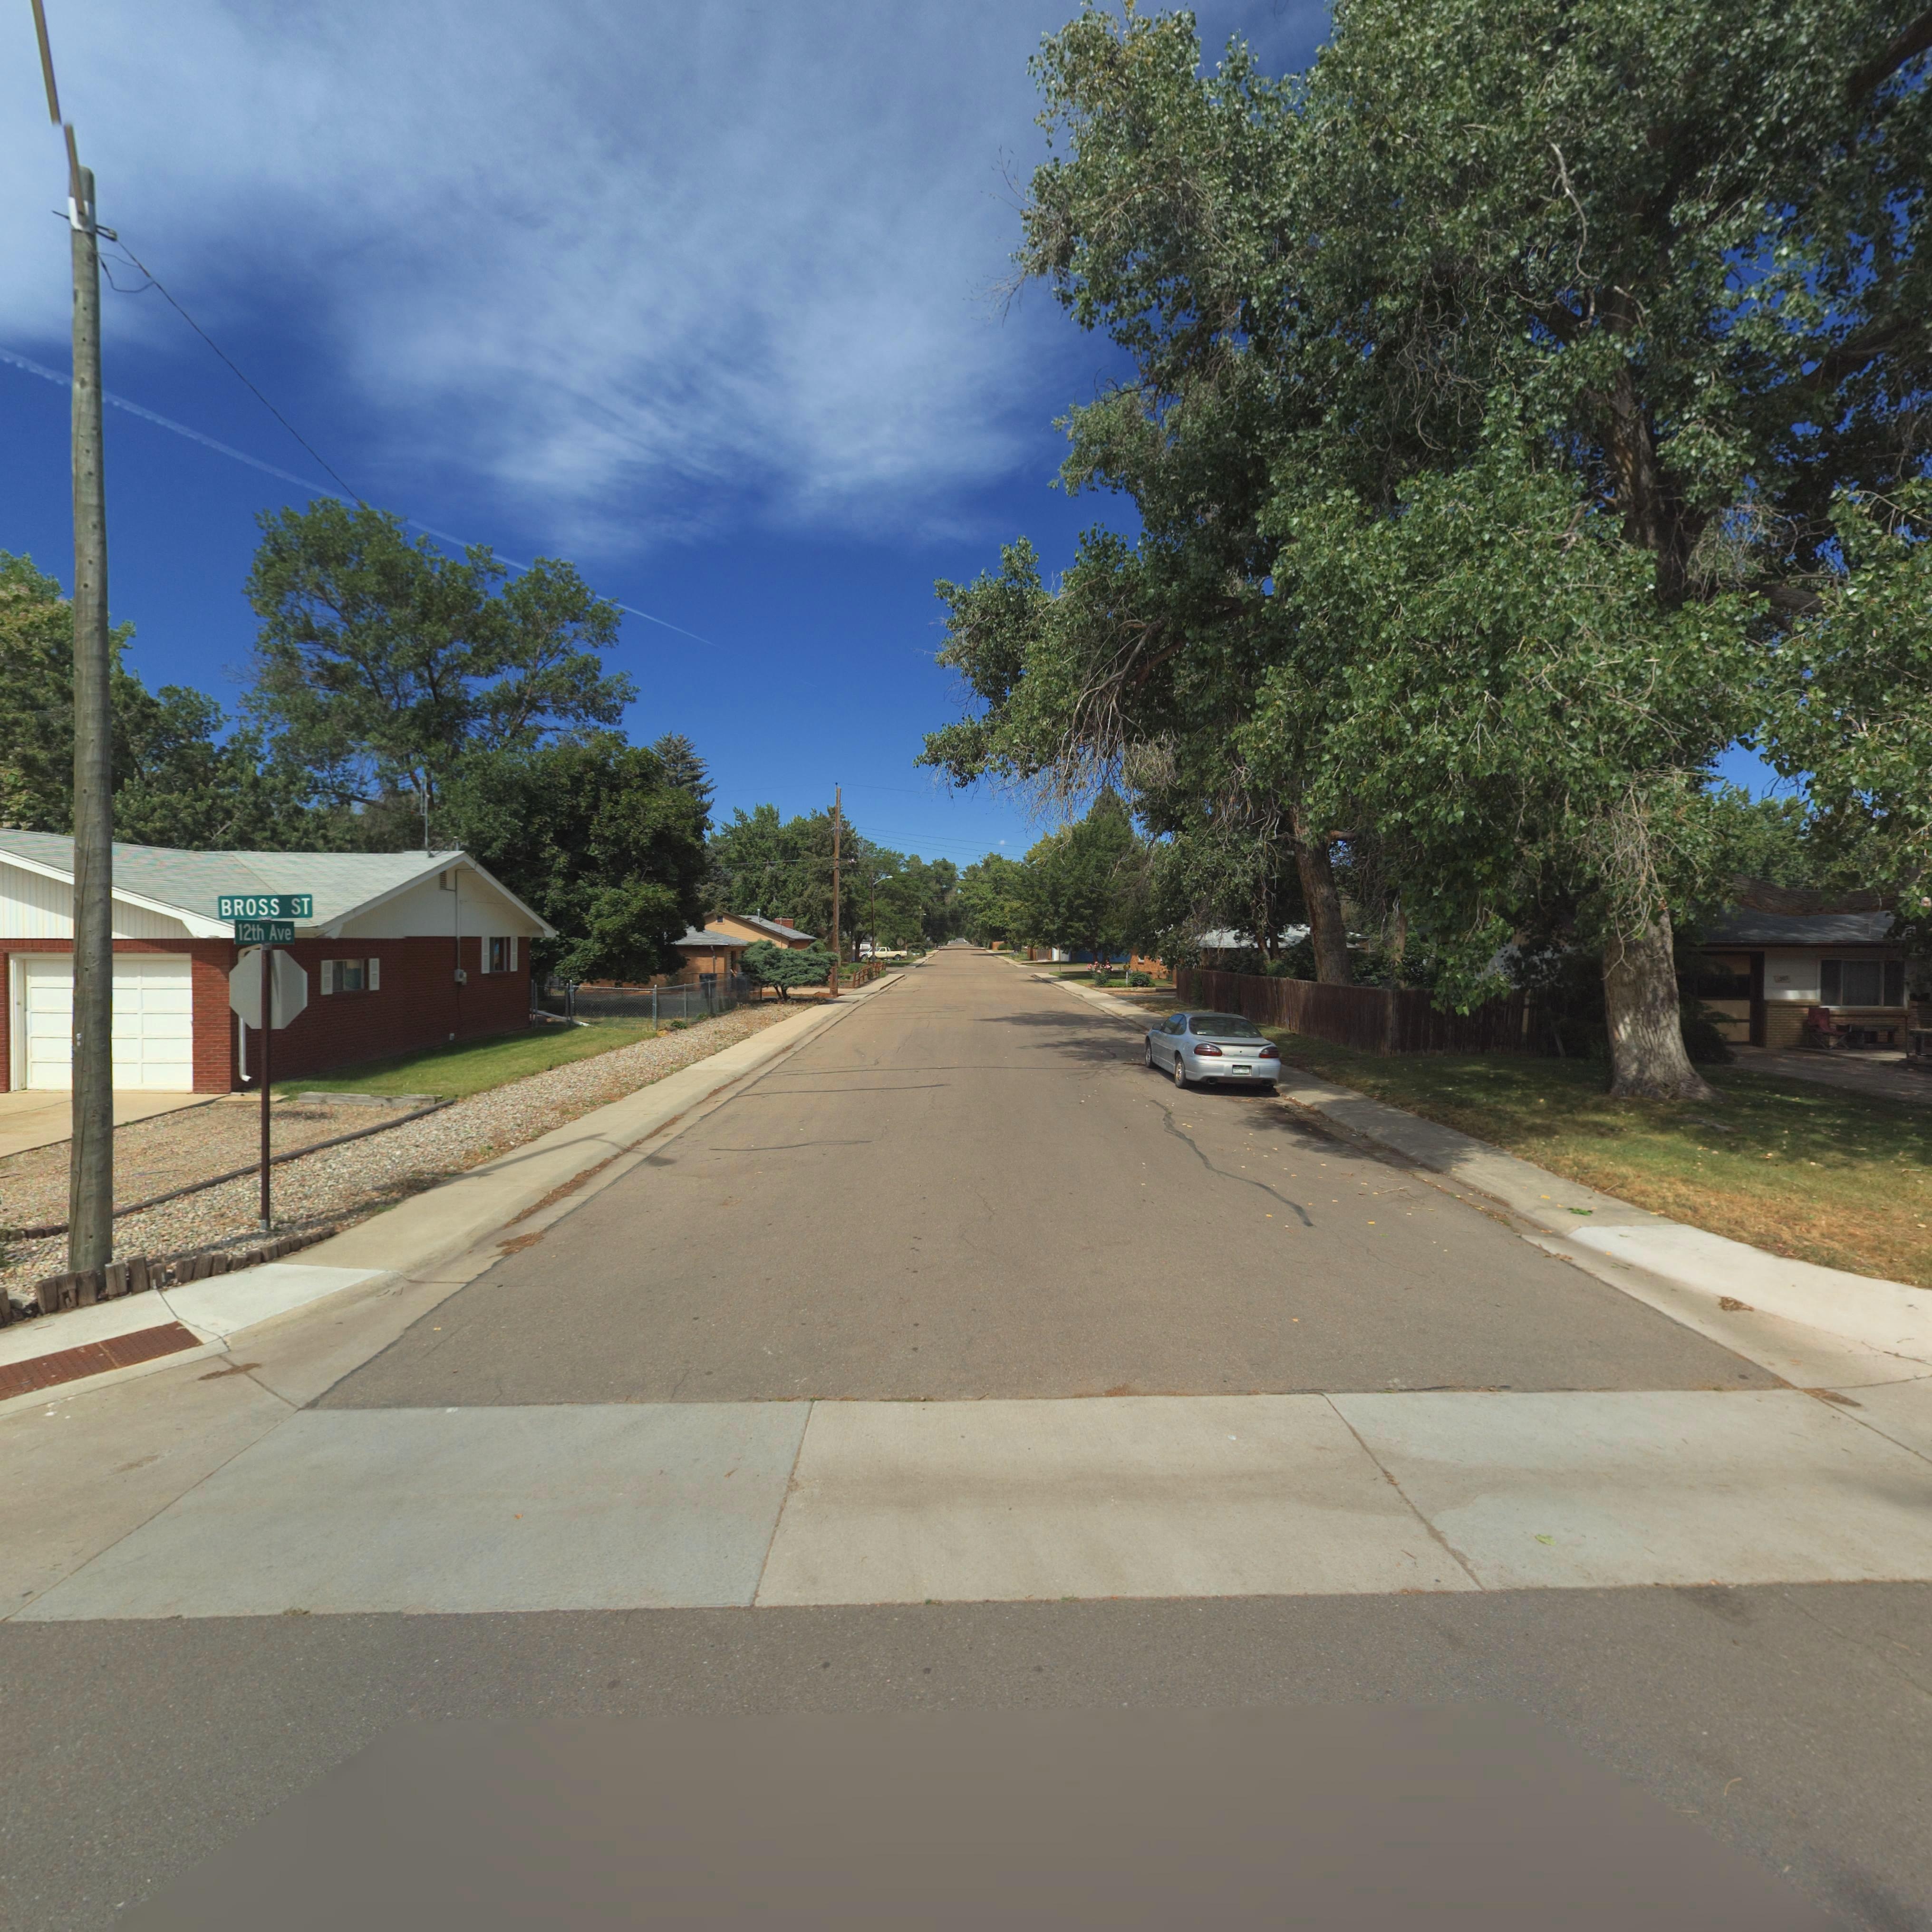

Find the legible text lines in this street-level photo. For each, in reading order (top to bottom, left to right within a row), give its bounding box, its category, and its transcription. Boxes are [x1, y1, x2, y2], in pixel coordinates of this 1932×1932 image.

[220, 897, 311, 917] StreetName: BROSS ST
[236, 923, 291, 941] StreetName: 12th Ave
[1777, 975, 1788, 982] StreetNumber: *20*